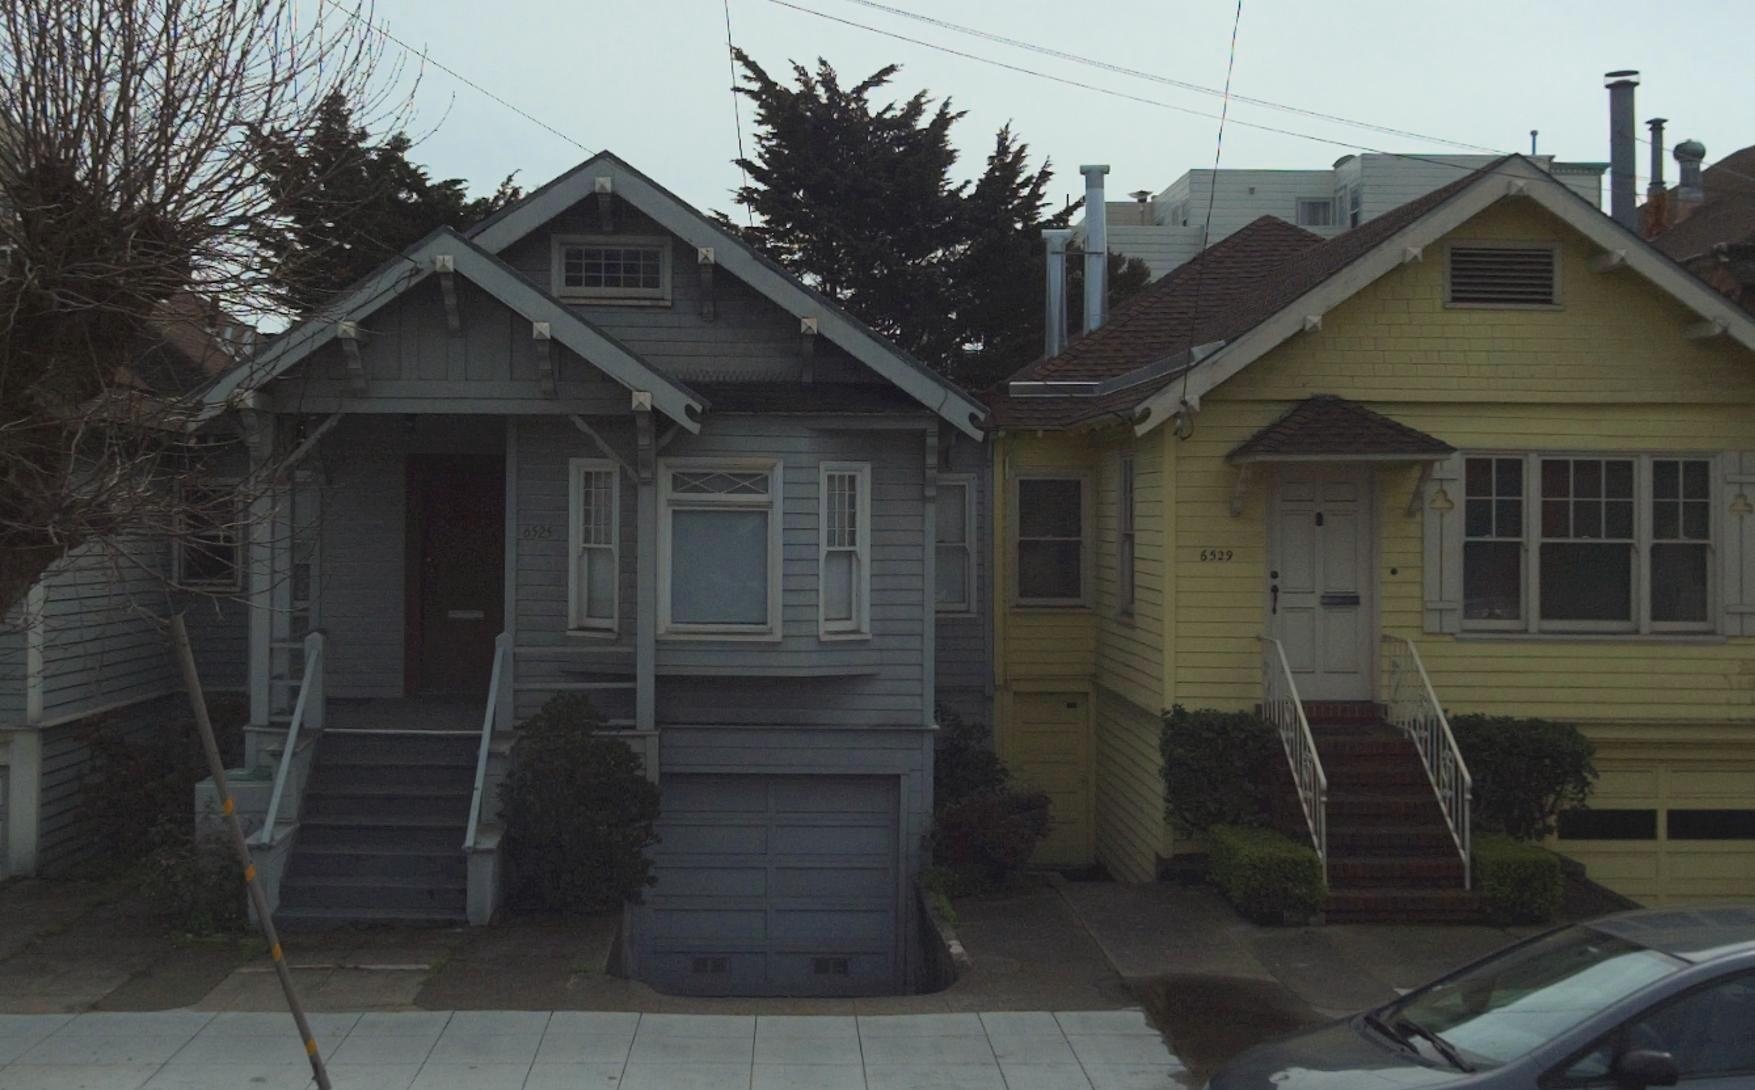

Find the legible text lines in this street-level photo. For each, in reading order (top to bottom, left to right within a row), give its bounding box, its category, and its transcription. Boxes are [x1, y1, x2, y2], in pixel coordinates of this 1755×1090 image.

[522, 525, 554, 540] StreetNumber: 6525
[1199, 549, 1233, 562] StreetNumber: 6529